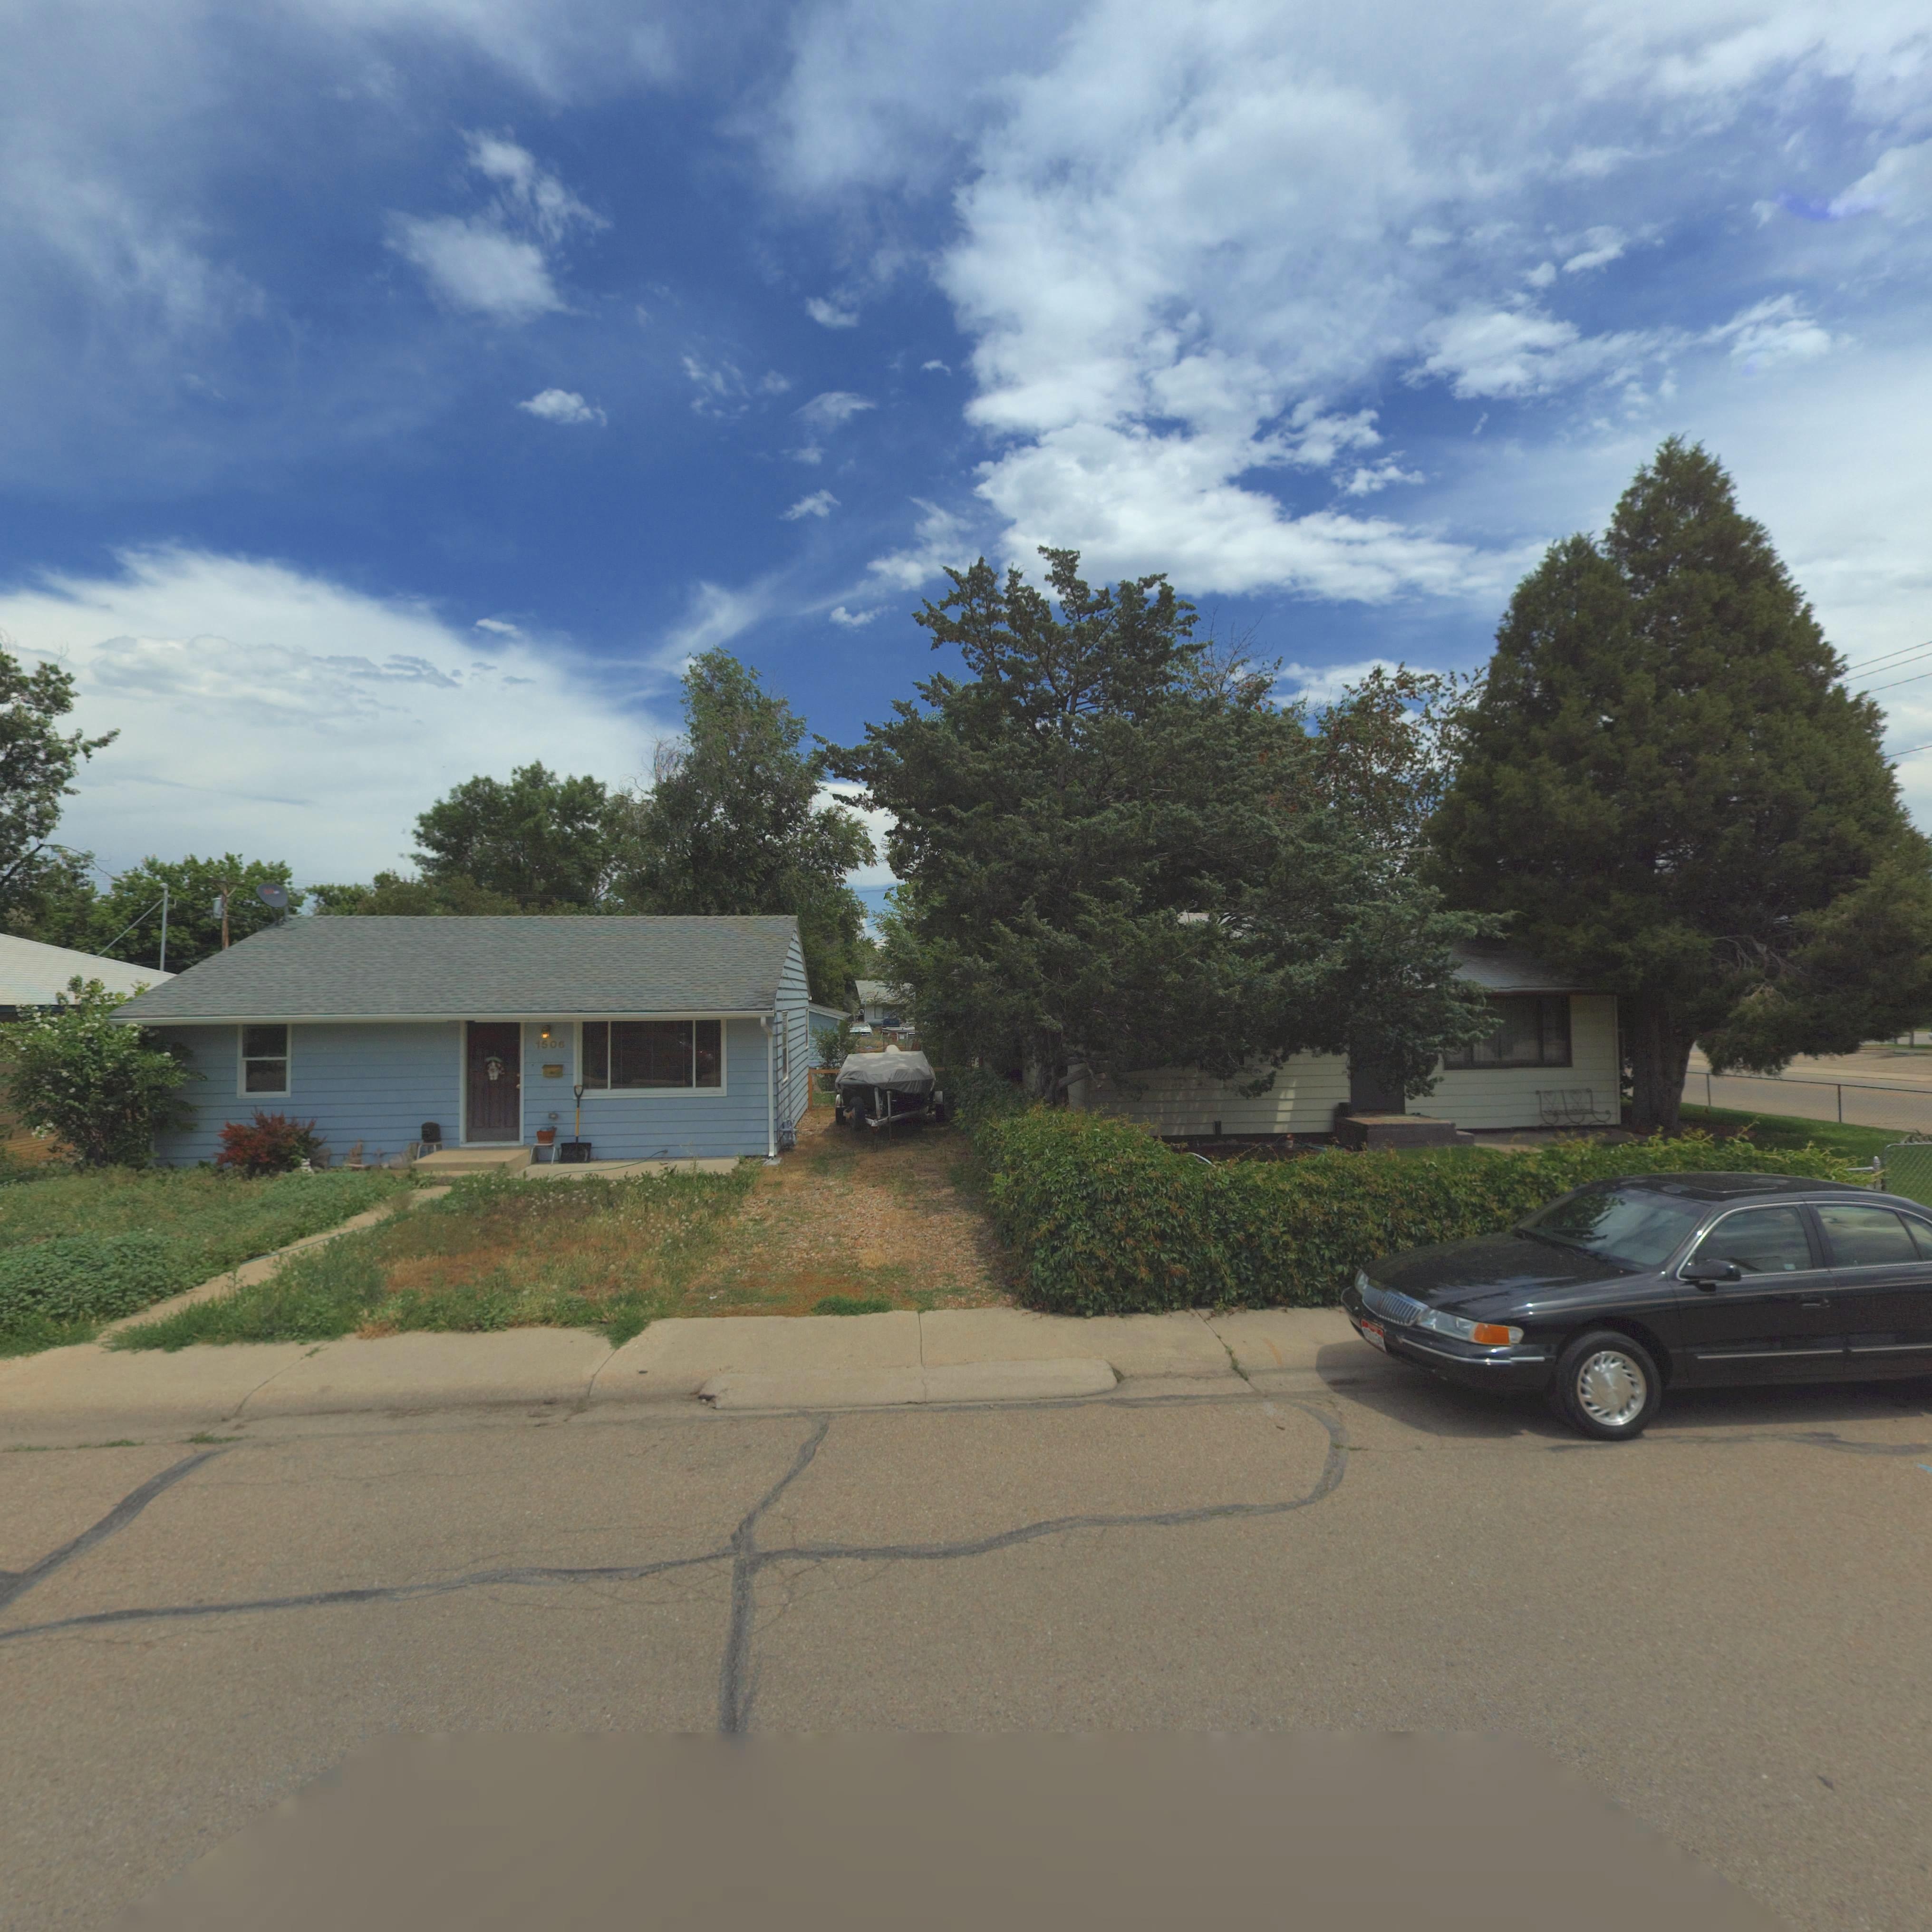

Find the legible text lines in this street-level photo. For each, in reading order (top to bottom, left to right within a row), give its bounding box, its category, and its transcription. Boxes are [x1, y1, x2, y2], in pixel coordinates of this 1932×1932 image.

[535, 1040, 565, 1049] StreetNumber: 1500